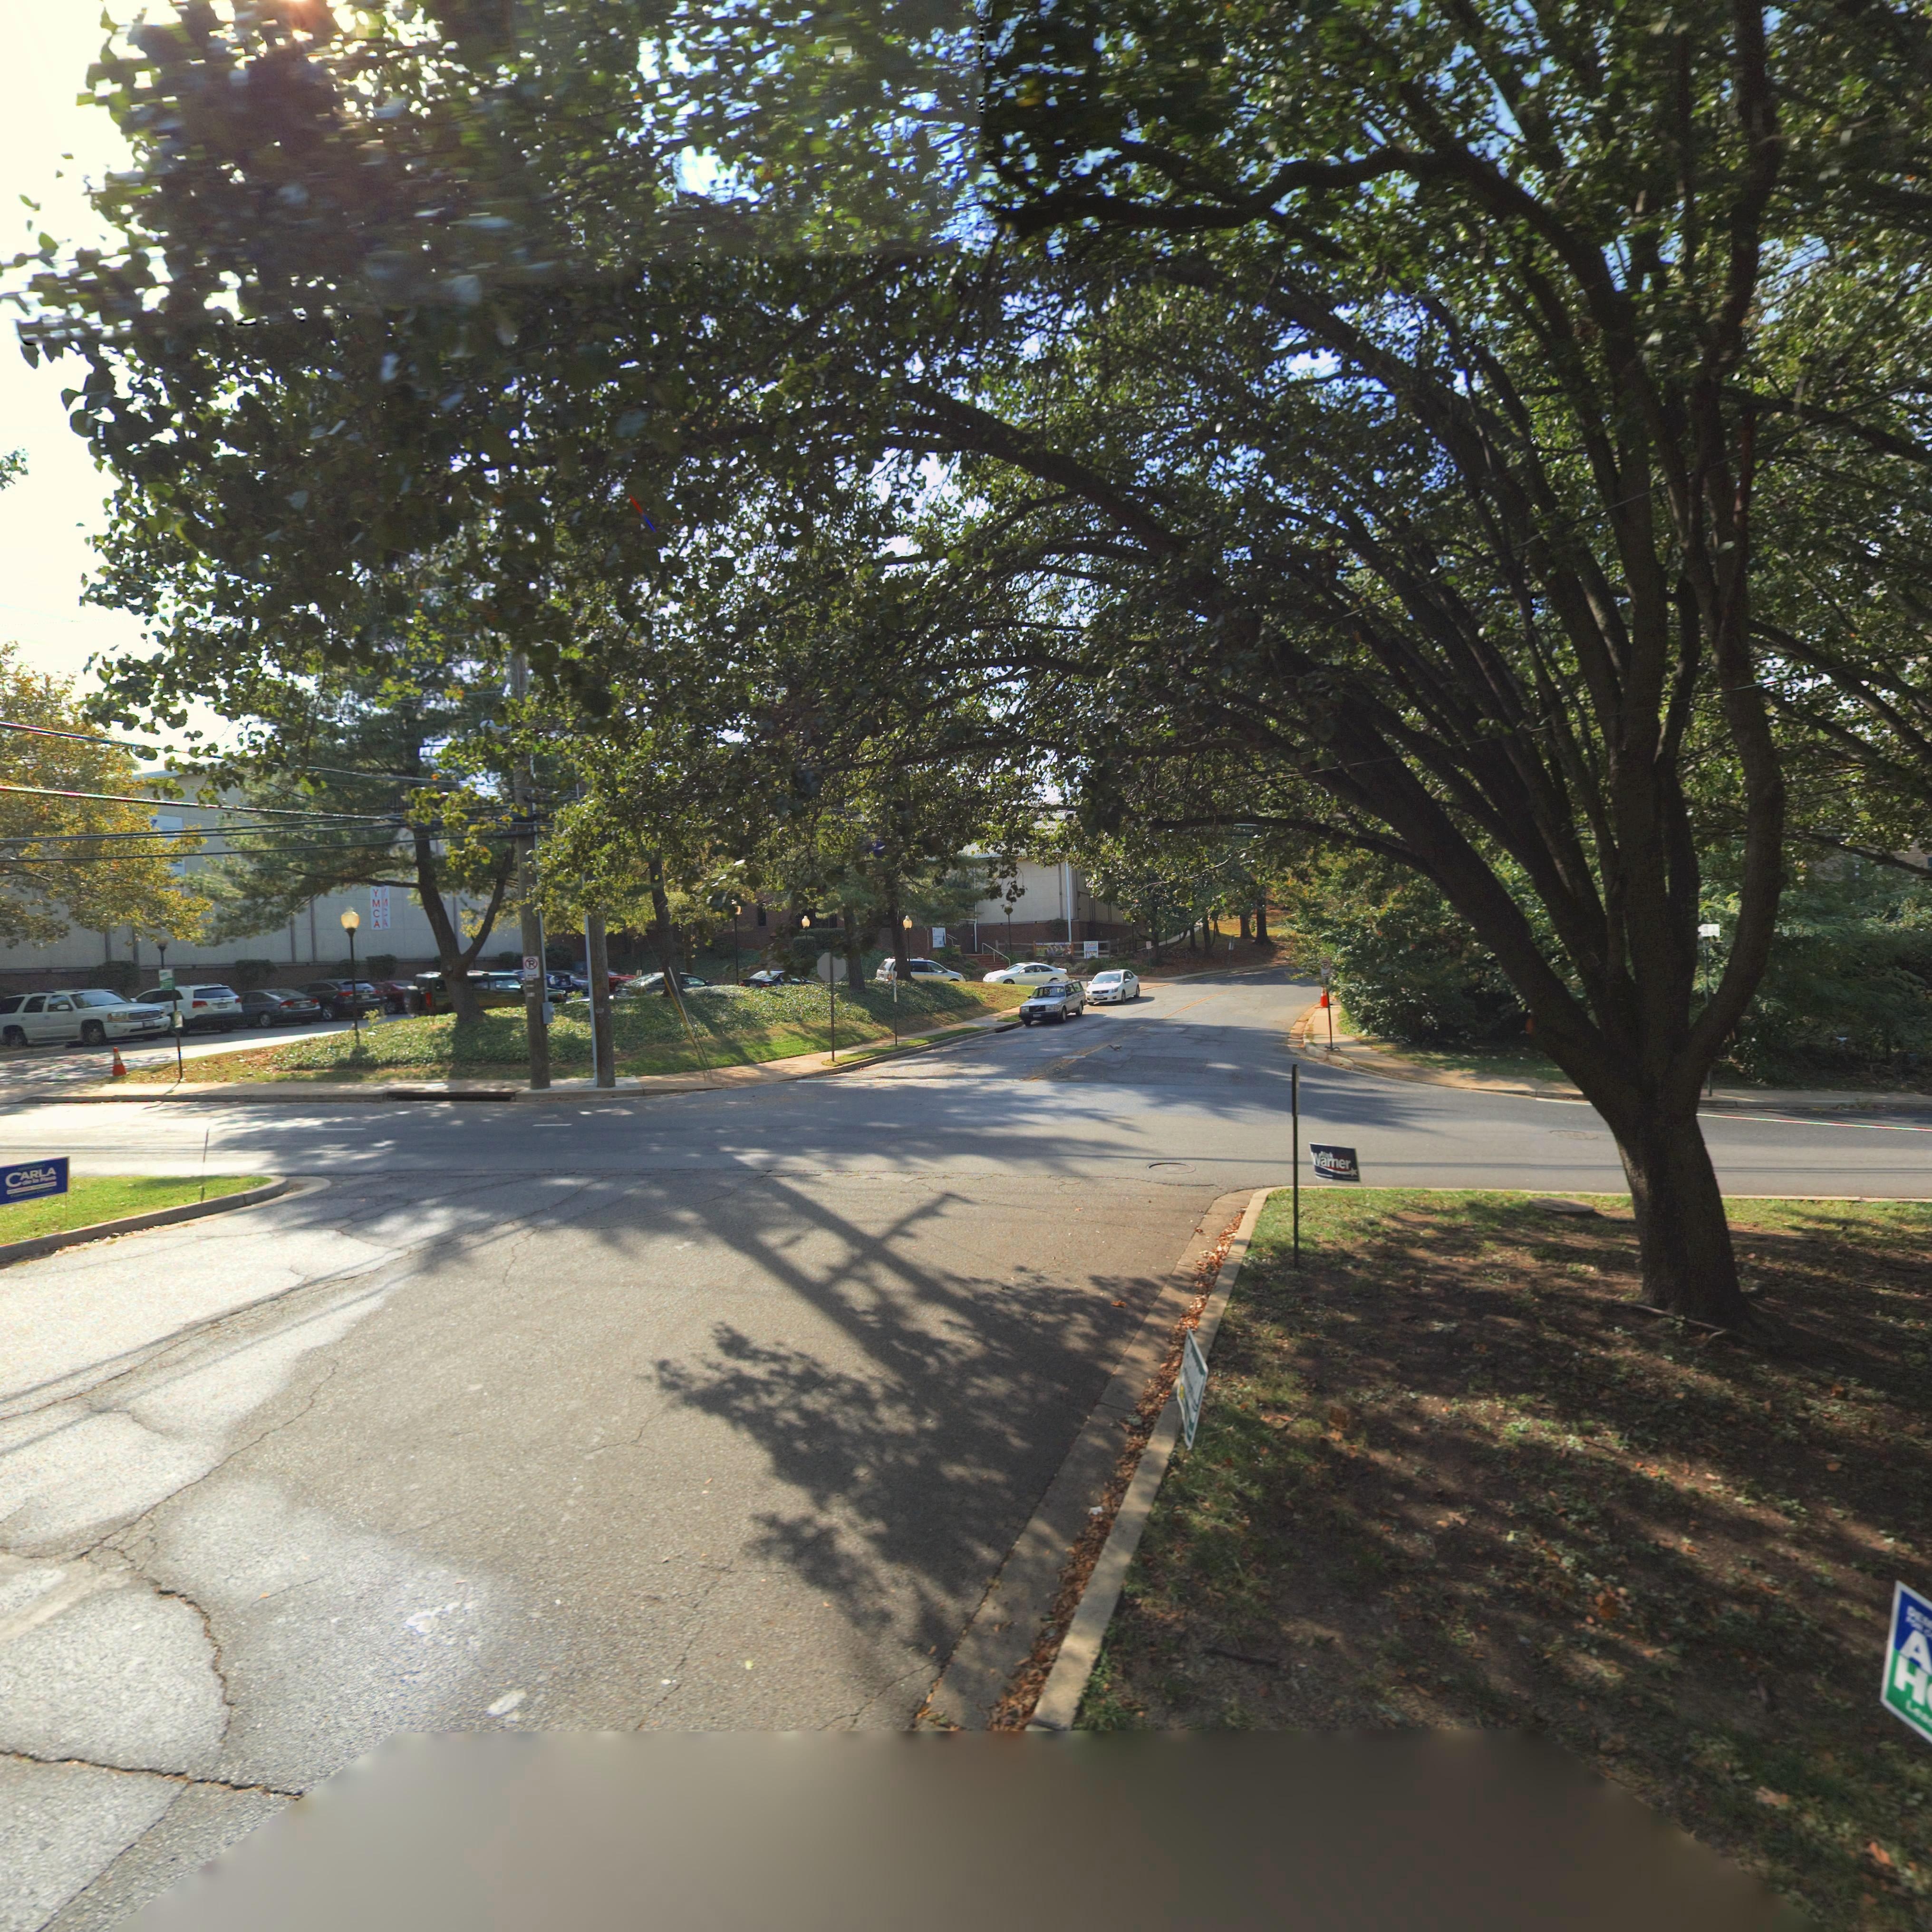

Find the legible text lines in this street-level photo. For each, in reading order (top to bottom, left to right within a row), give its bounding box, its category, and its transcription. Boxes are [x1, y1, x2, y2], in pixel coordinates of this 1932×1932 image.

[372, 888, 381, 928] BusinessName: YMCA
[1311, 1151, 1352, 1169] None: Warner
[5, 1167, 57, 1188] None: CARLA
[1906, 1604, 1925, 1625] None: DE
[1897, 1628, 1932, 1678] None: A
[1892, 1652, 1930, 1708] None: H
[1905, 1698, 1915, 1716] None: L